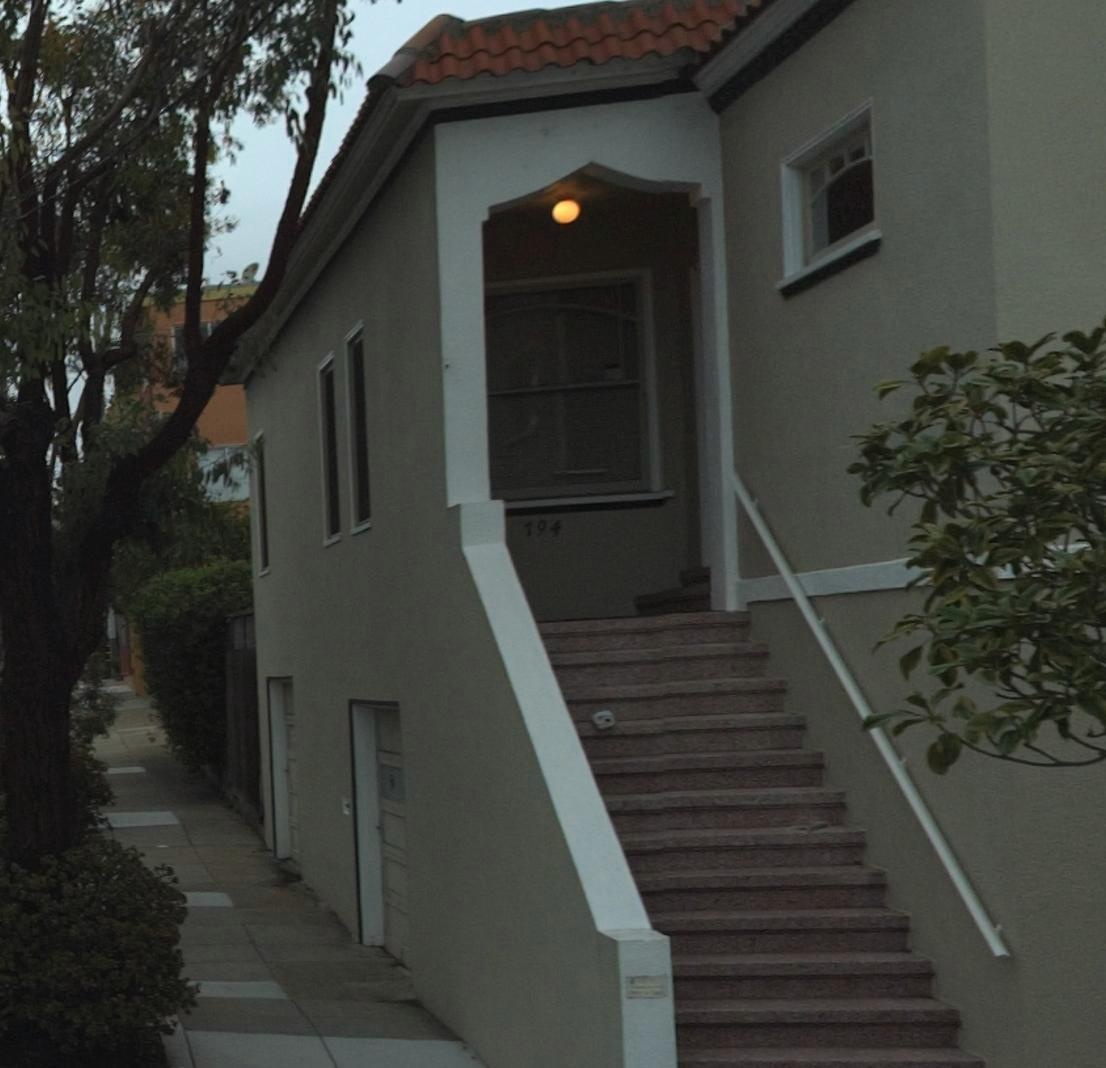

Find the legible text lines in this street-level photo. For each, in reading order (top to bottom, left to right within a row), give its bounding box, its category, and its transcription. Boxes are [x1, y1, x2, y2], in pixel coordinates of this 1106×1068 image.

[522, 518, 563, 538] StreetNumber: 794